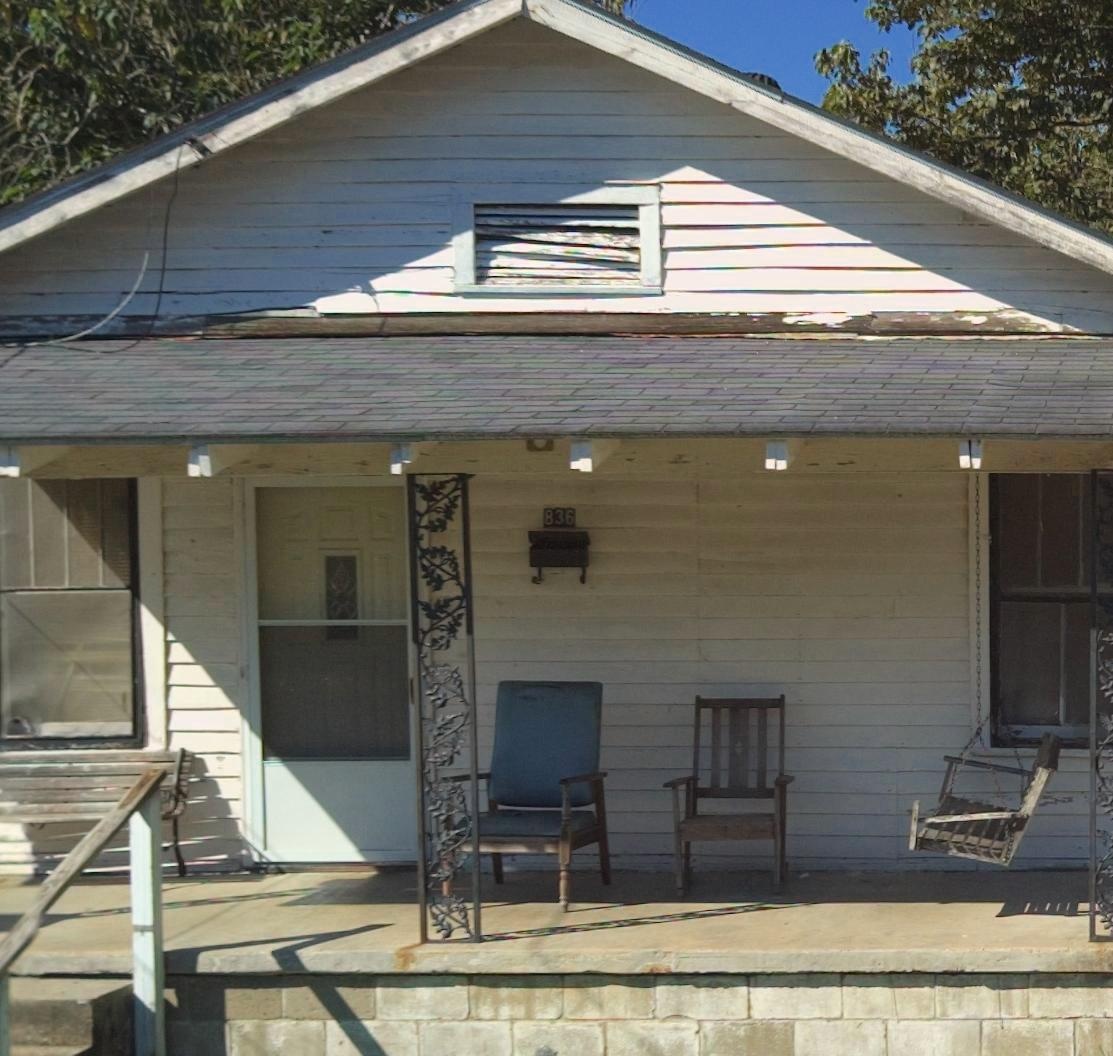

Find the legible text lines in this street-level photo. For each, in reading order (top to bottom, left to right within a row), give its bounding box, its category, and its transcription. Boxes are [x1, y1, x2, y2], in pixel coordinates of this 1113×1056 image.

[544, 507, 576, 528] StreetNumber: 836